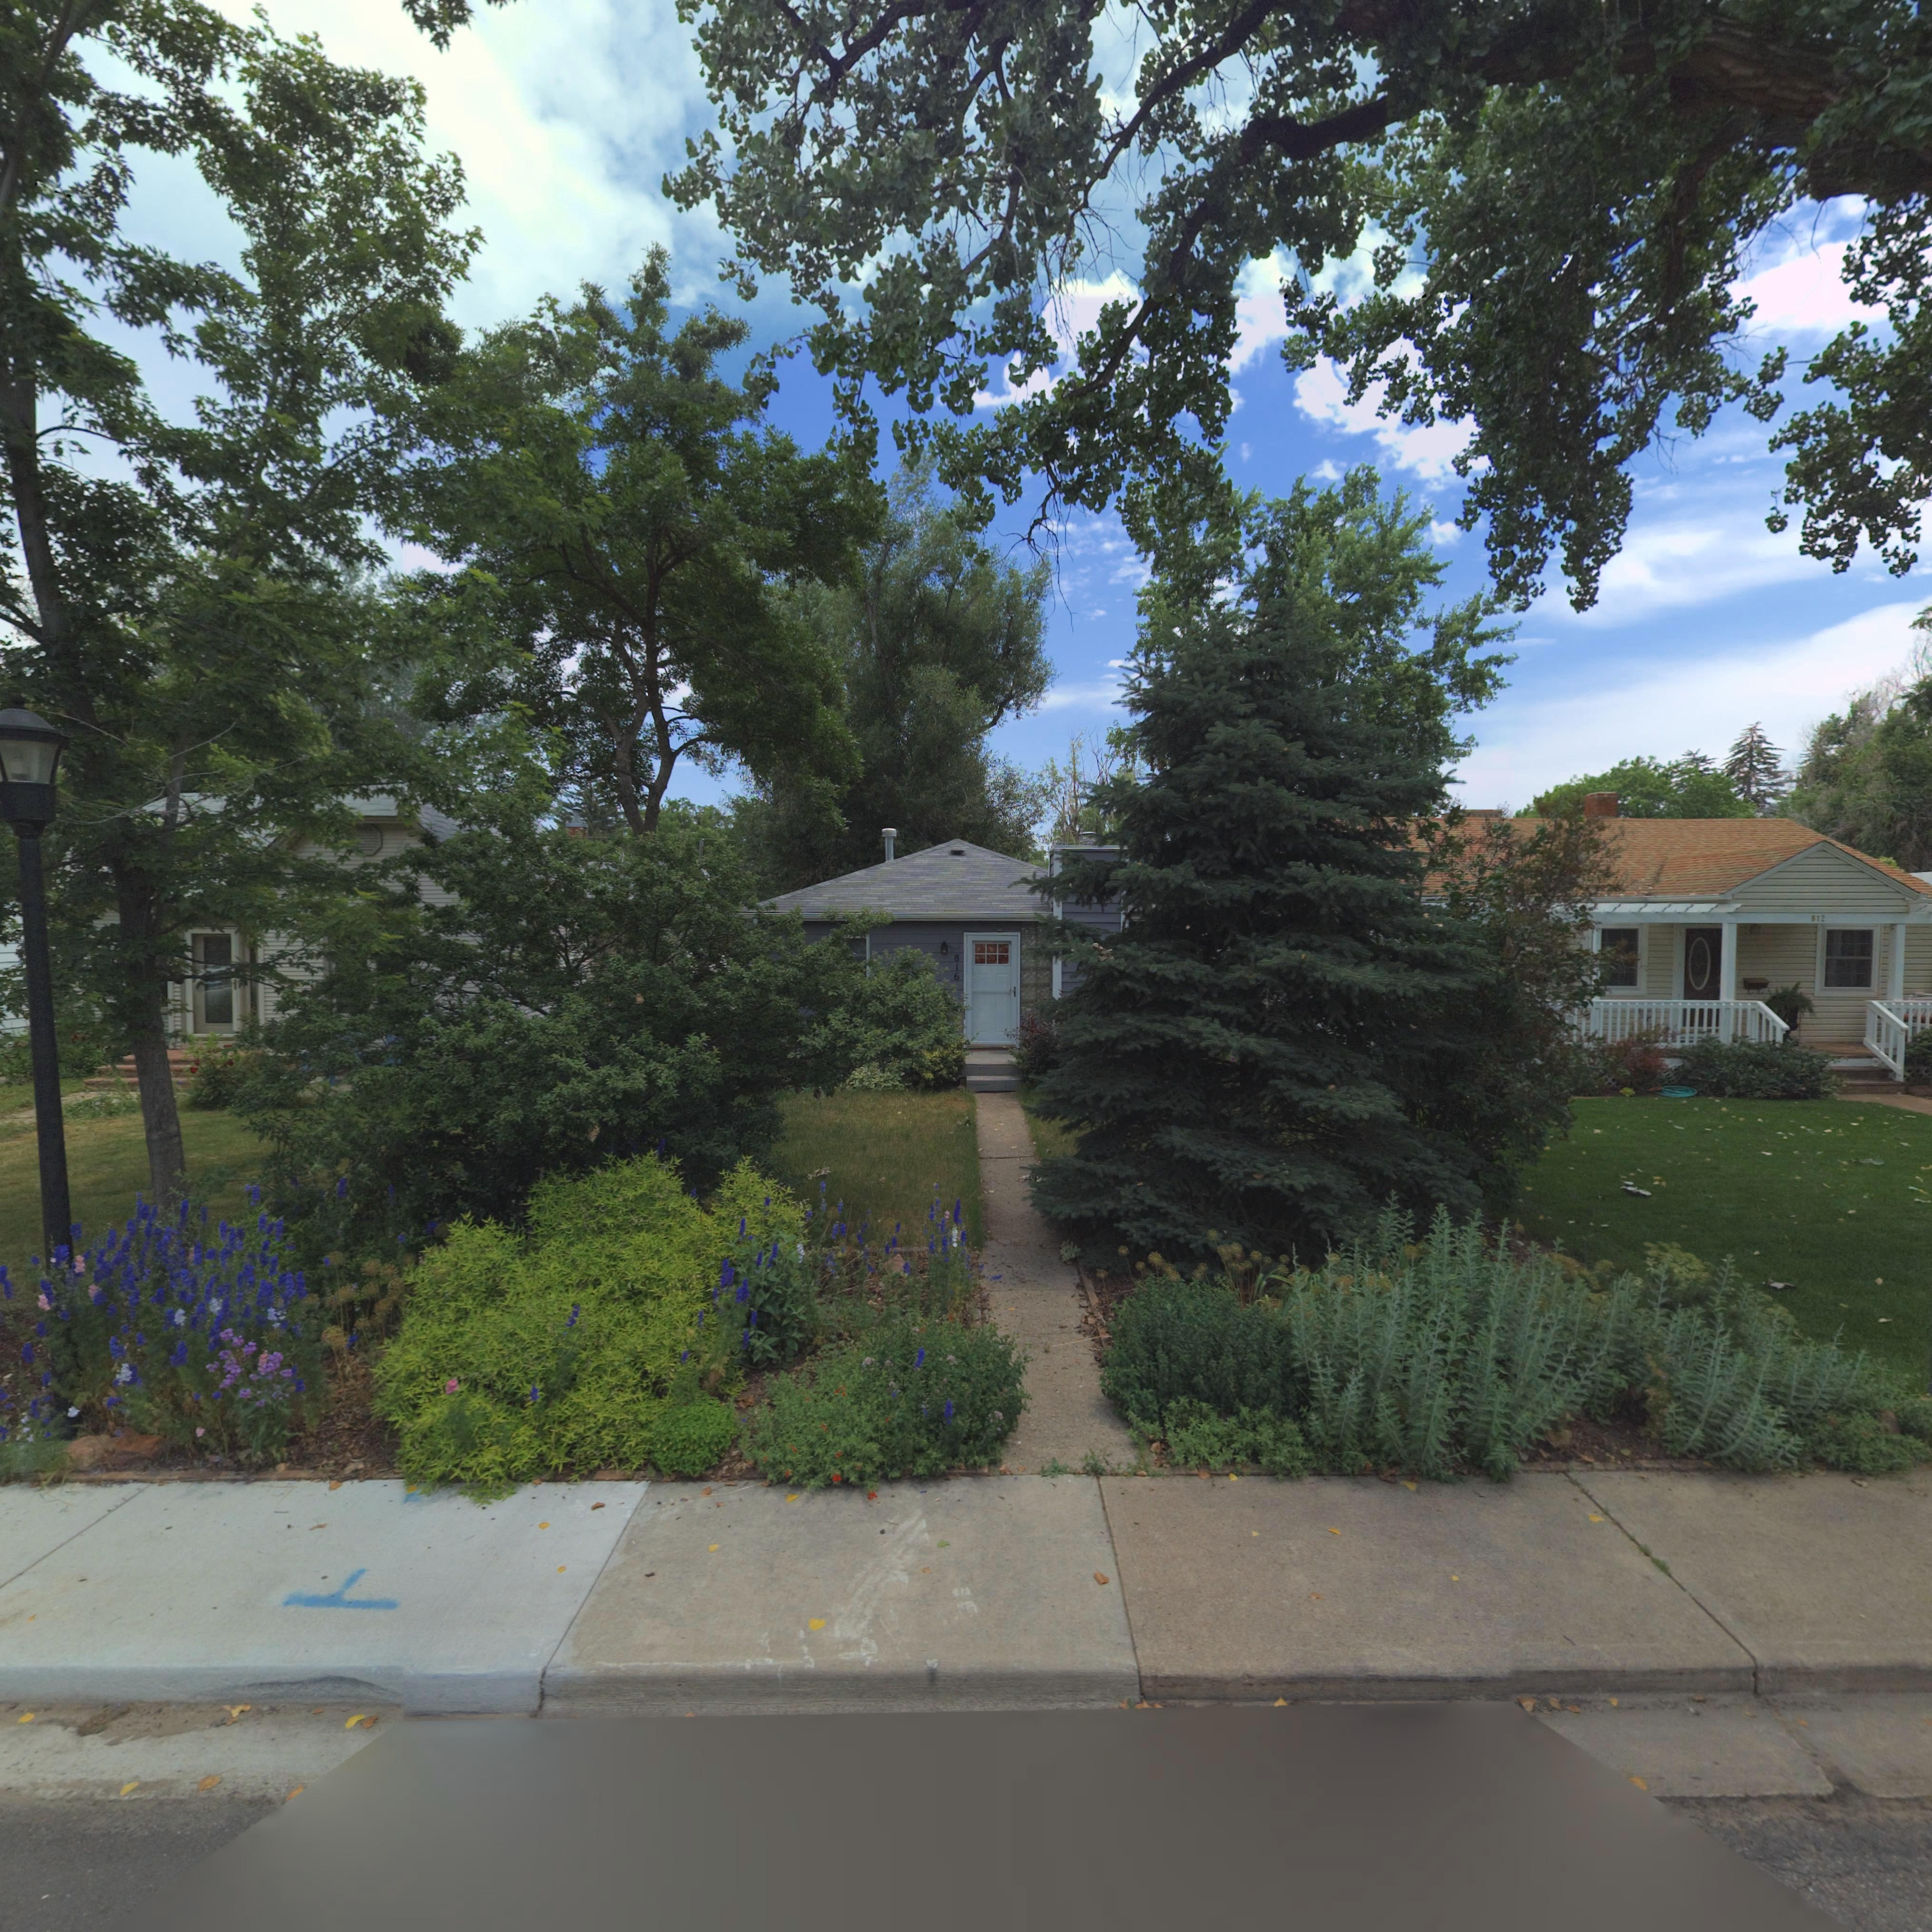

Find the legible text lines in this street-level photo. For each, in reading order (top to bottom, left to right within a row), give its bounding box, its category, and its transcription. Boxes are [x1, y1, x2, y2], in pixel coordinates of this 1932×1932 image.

[1811, 915, 1825, 923] StreetNumber: 812
[953, 953, 960, 981] StreetNumber: 816